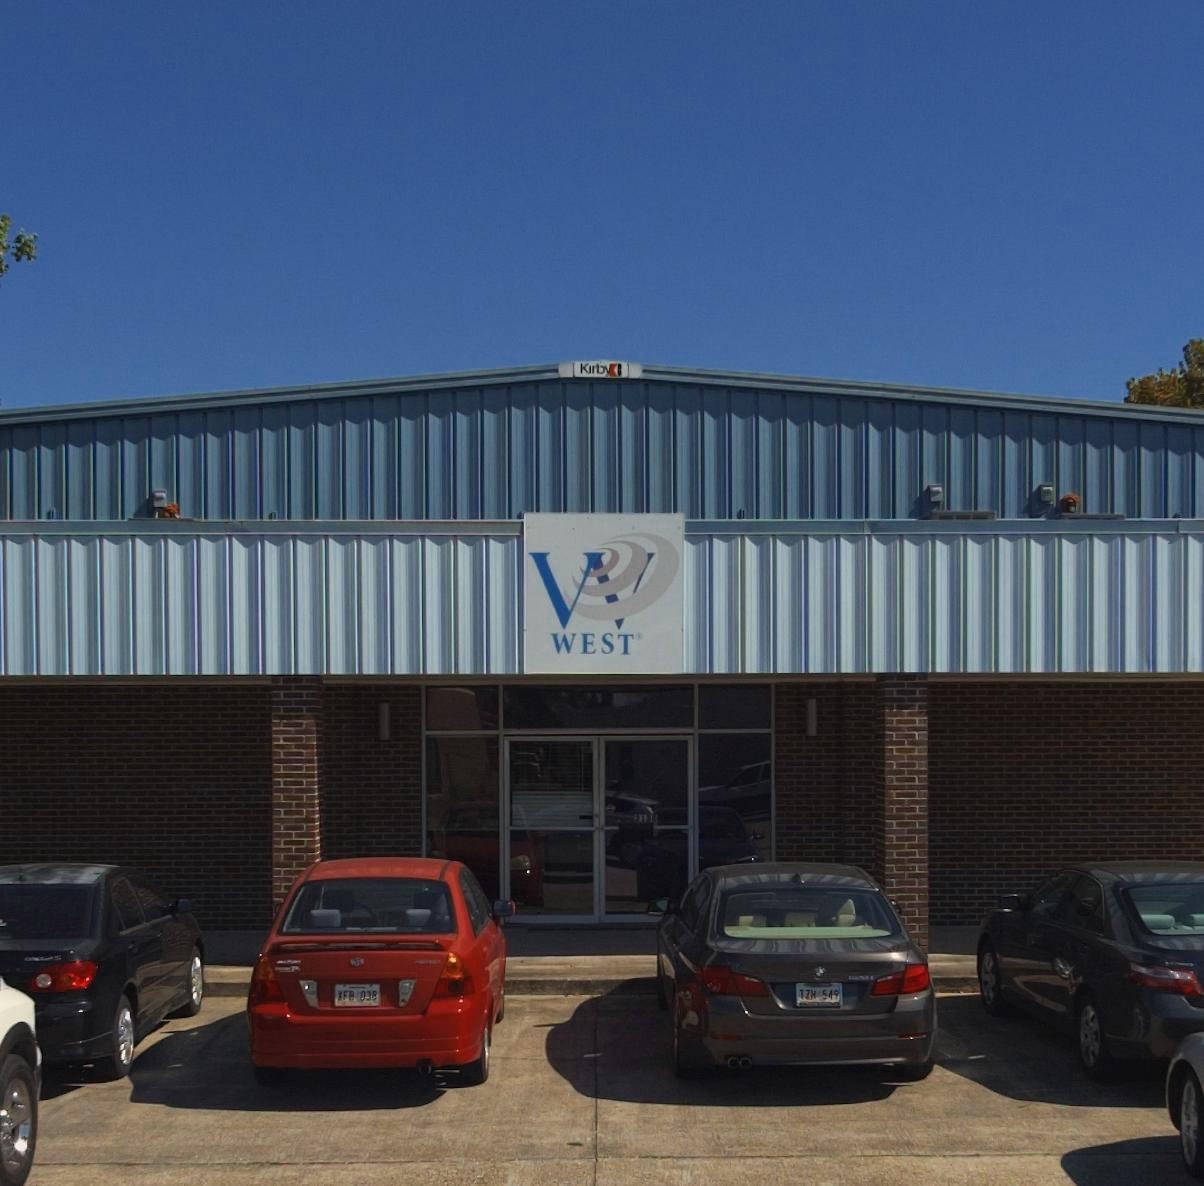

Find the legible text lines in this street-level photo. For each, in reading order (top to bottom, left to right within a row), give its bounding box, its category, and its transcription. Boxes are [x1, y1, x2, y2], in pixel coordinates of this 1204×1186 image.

[577, 360, 615, 379] None: Kirby
[548, 630, 637, 658] BusinessName: WEST
[335, 987, 380, 1004] None: XFB 03*
[797, 986, 842, 1003] None: T** 549